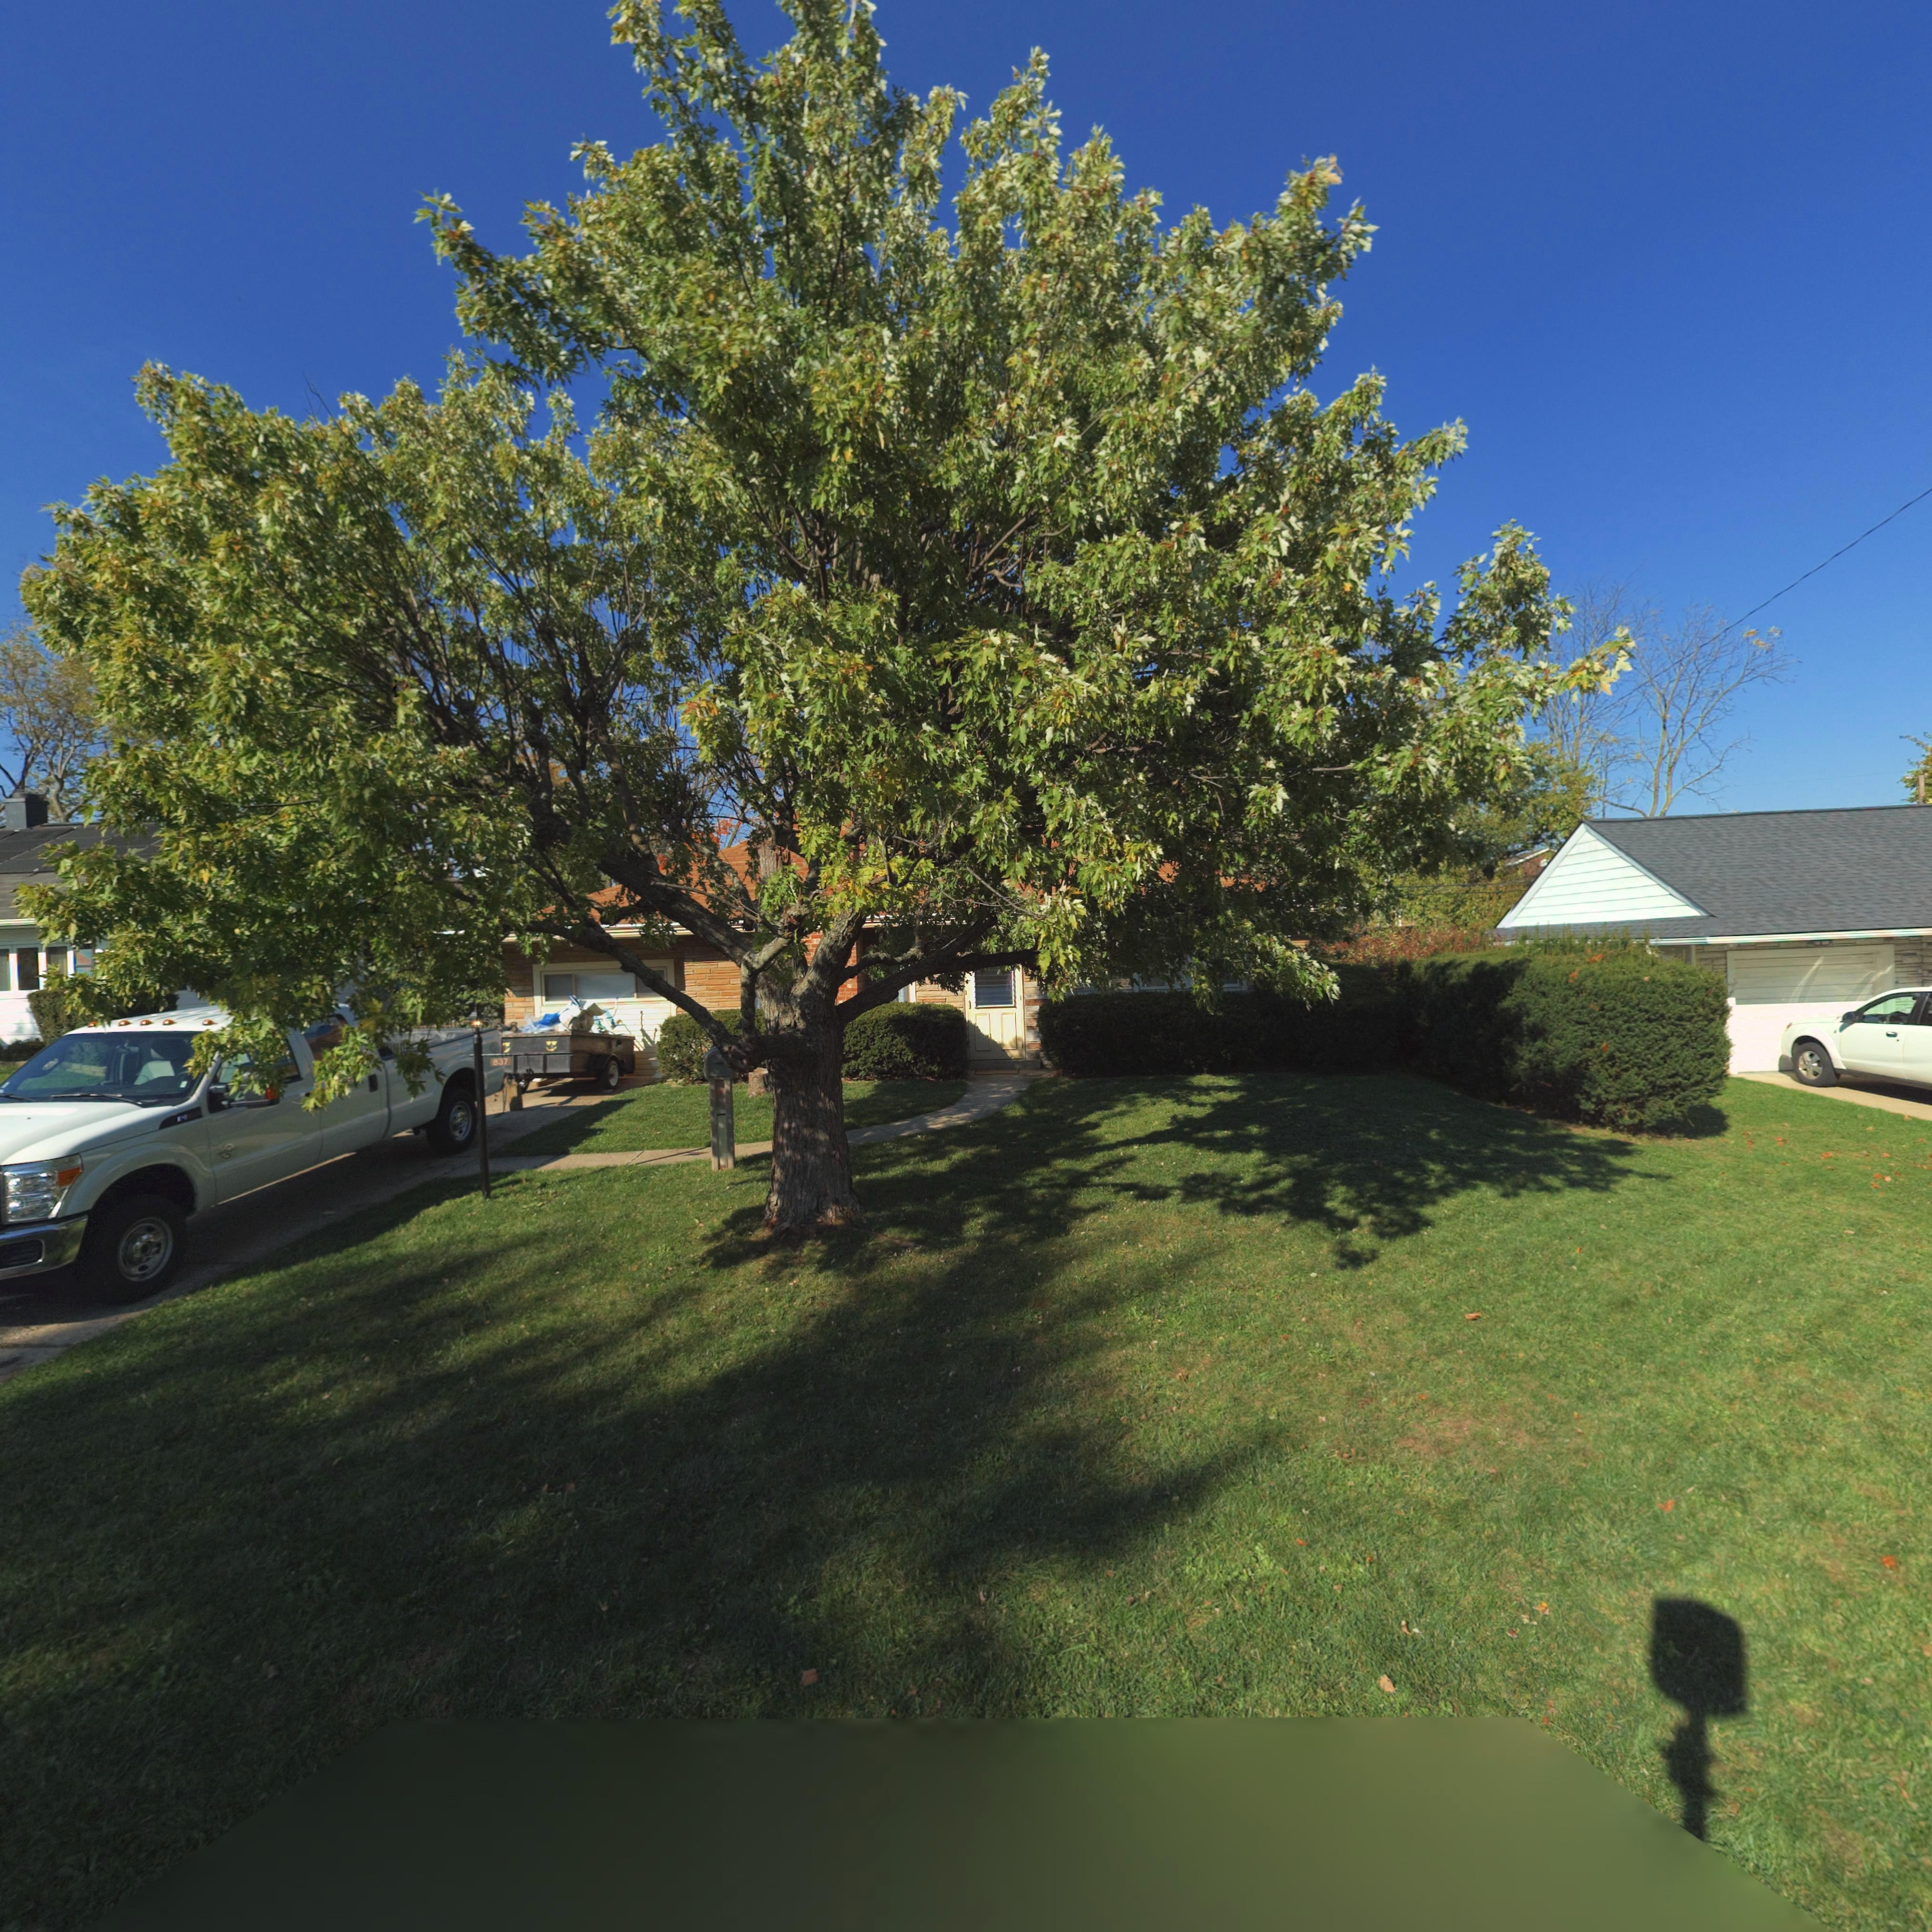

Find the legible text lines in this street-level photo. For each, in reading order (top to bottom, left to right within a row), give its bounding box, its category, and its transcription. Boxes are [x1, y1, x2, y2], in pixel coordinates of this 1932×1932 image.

[492, 1057, 508, 1065] StreetNumber: 837